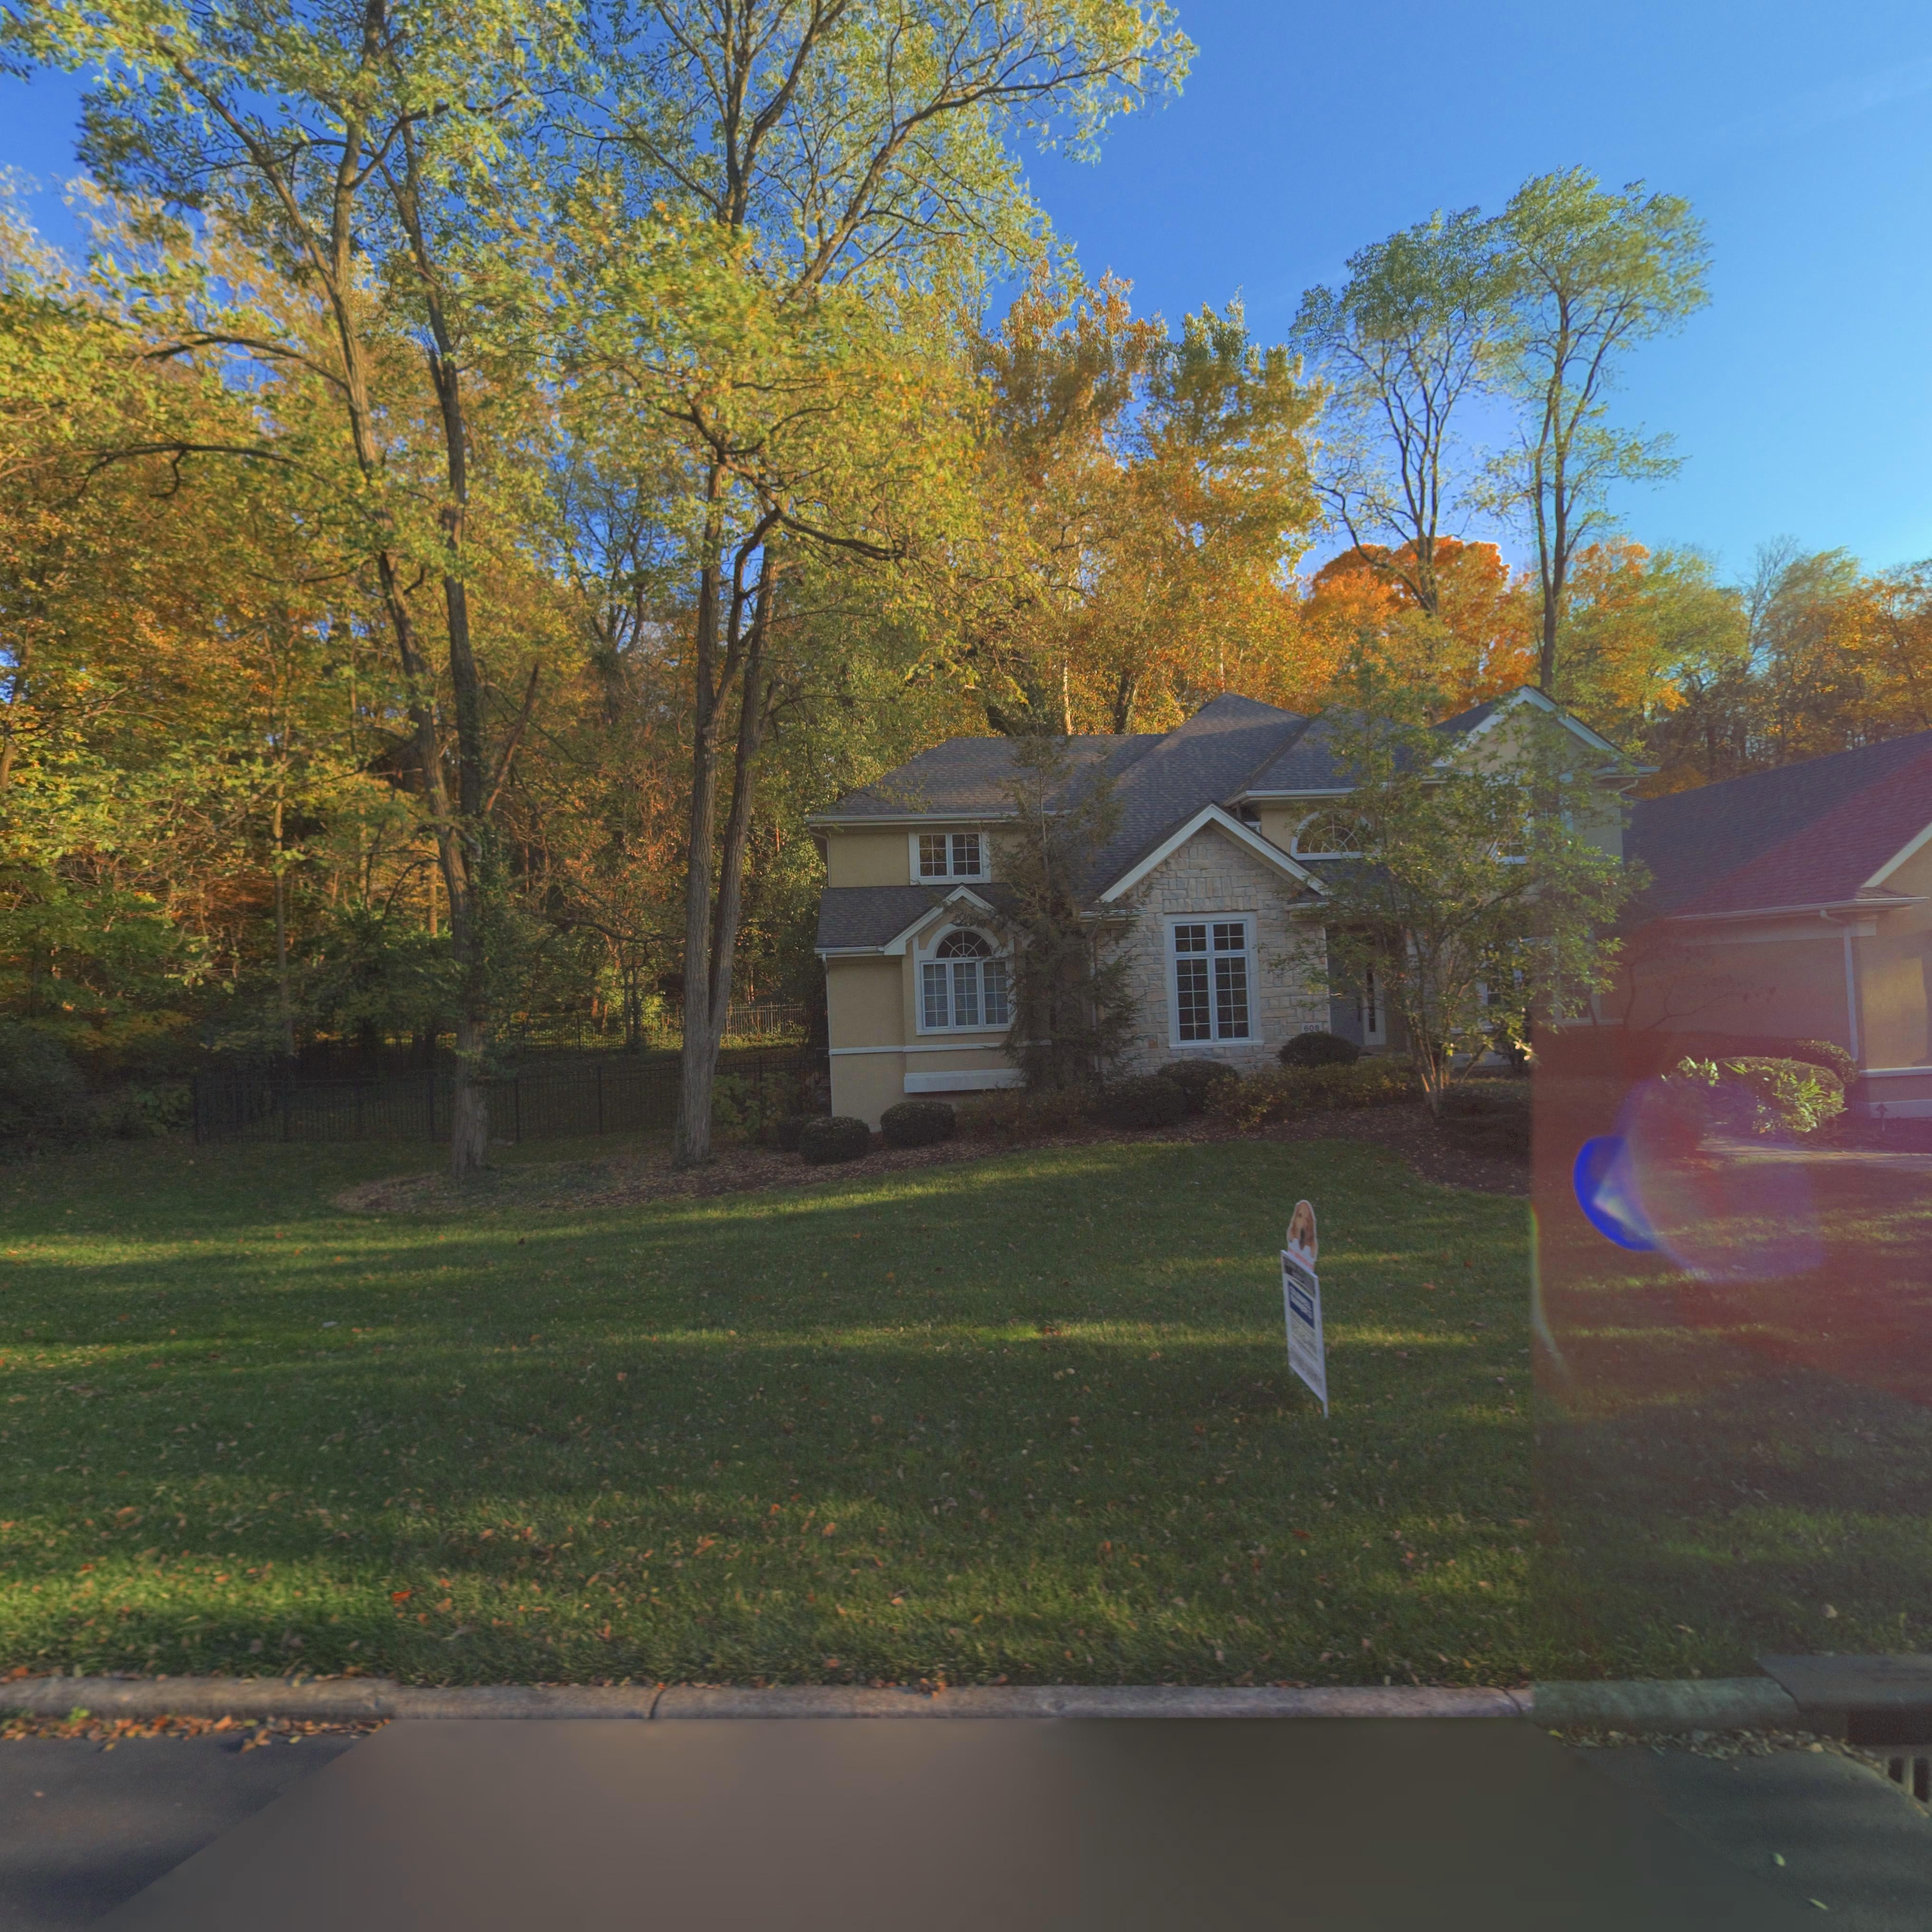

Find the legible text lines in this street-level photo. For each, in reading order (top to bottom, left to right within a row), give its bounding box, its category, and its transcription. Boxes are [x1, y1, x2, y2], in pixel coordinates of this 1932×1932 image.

[1303, 1024, 1320, 1032] StreetNumber: 608